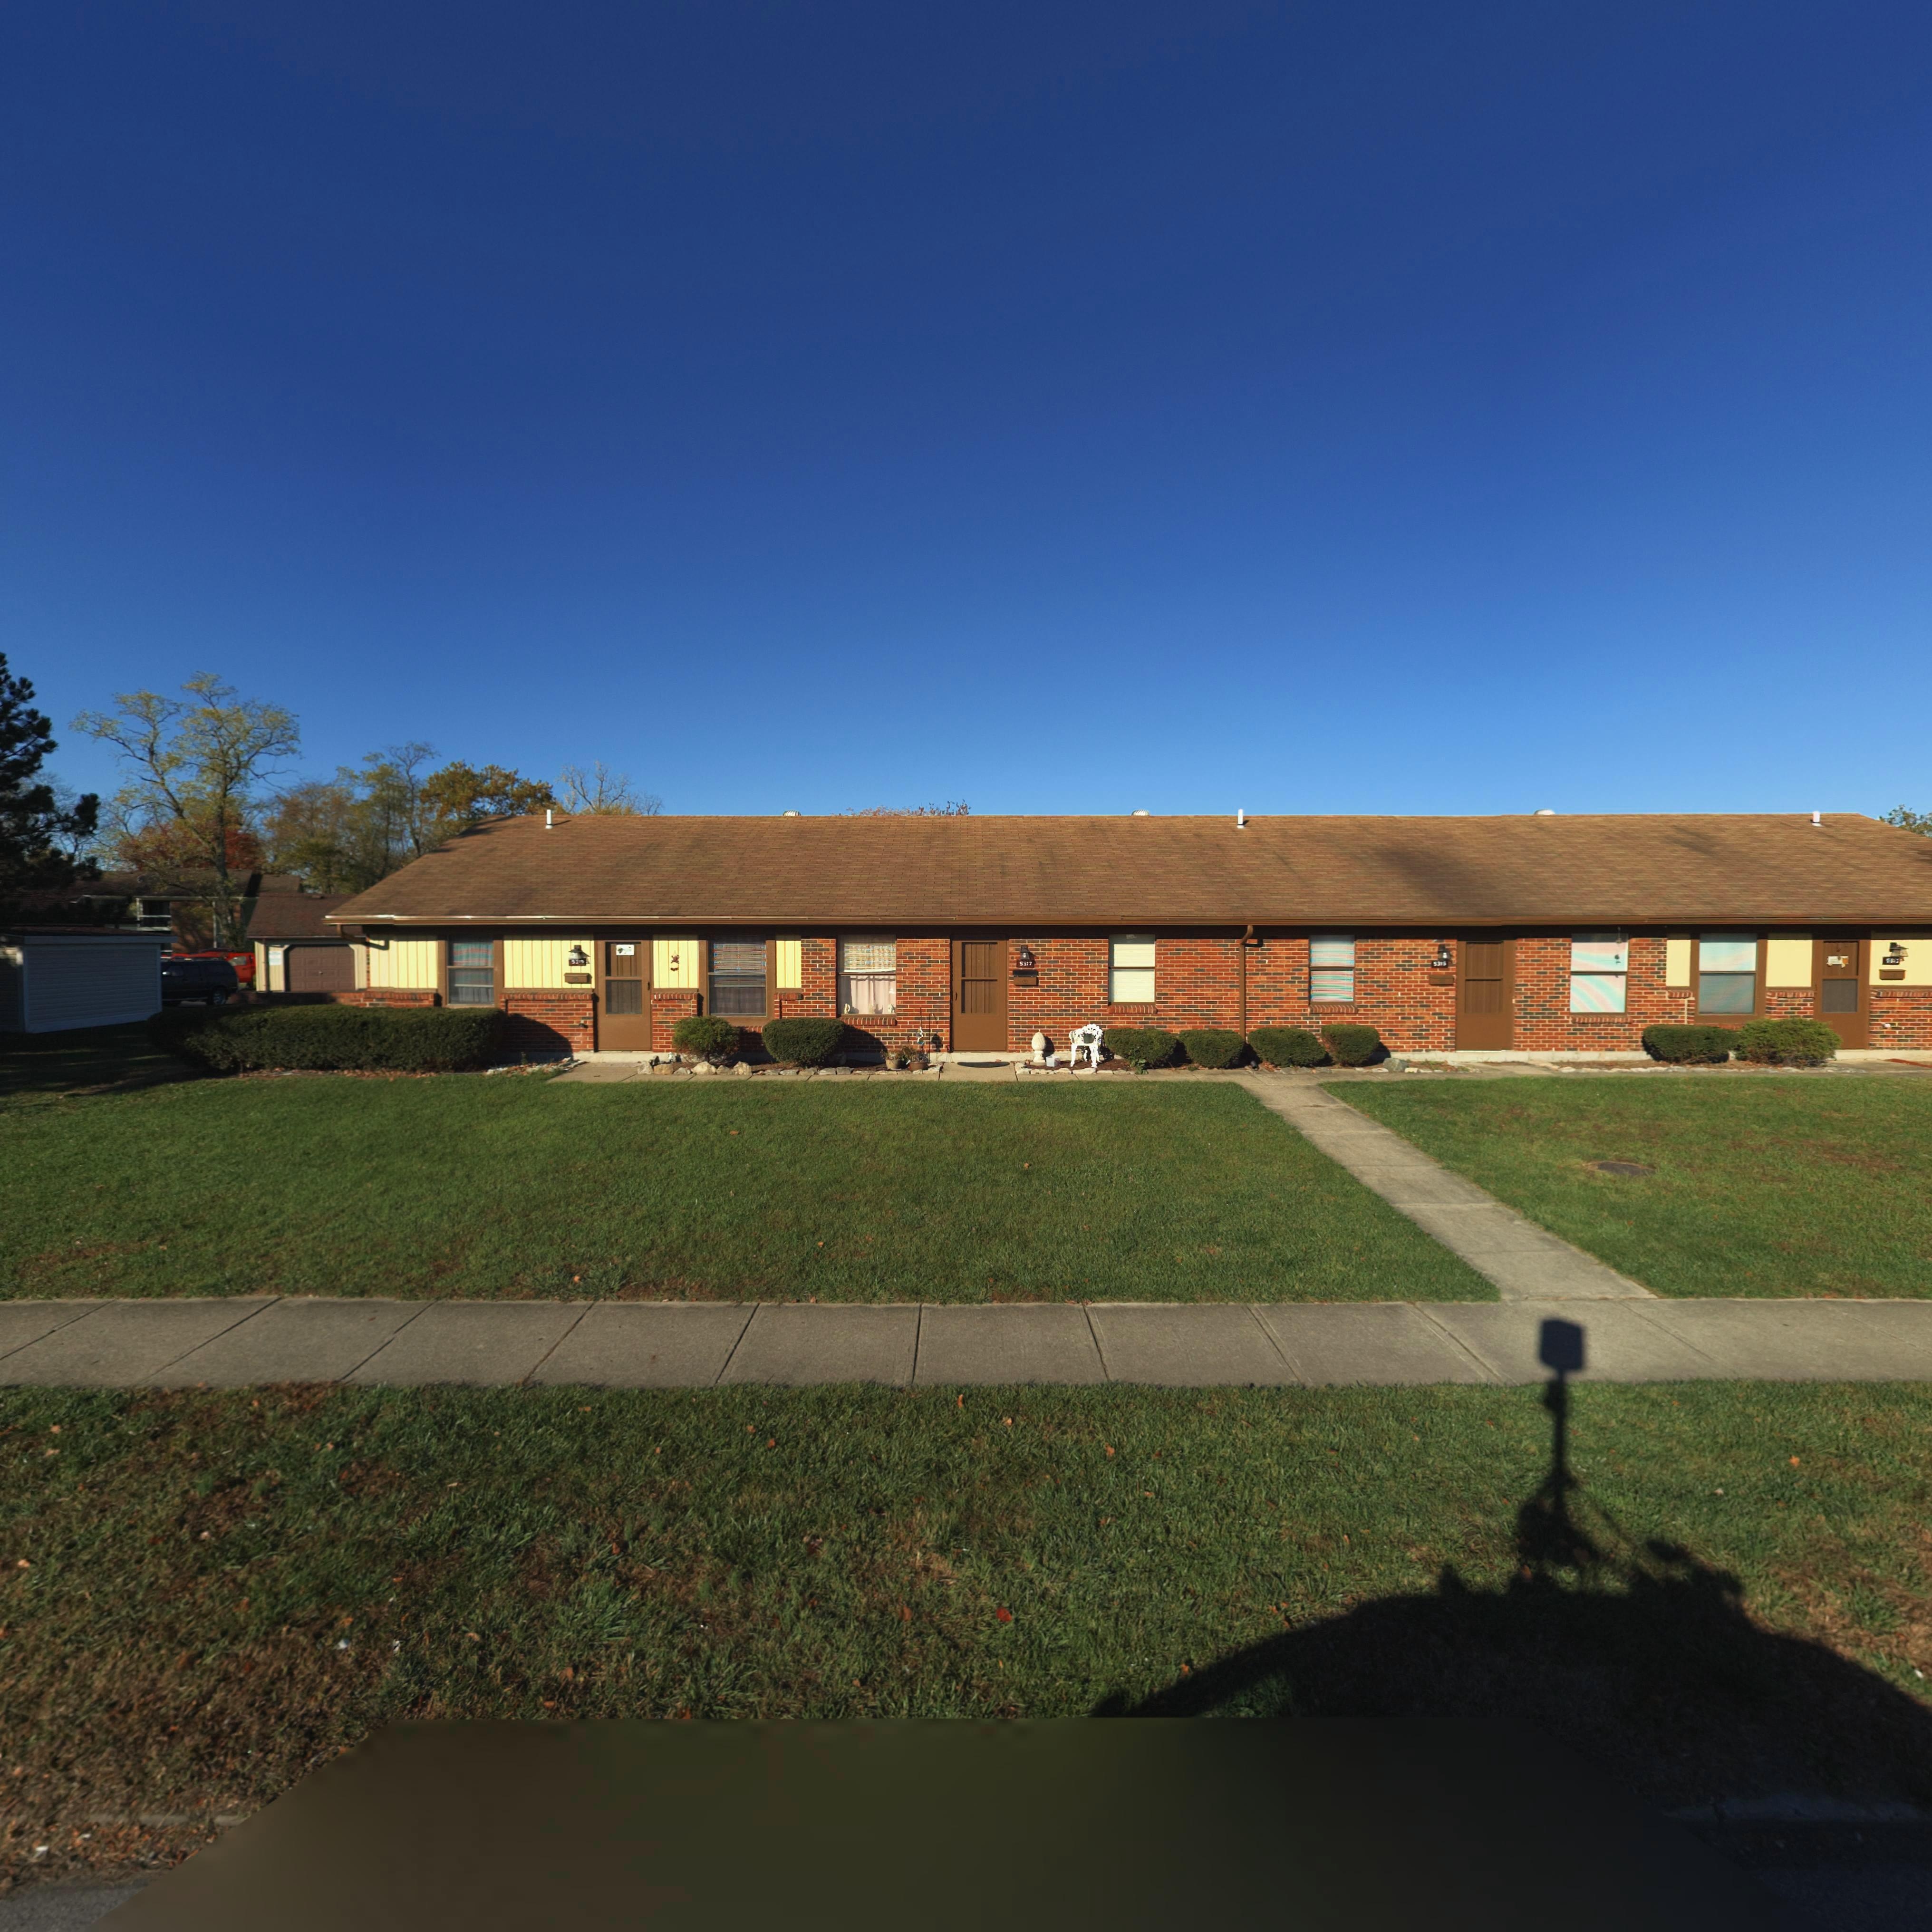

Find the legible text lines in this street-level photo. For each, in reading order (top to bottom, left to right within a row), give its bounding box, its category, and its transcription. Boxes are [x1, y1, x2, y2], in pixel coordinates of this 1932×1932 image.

[570, 958, 585, 965] StreetNumber: 5319
[1019, 960, 1033, 966] StreetNumber: 5317
[1433, 960, 1447, 966] StreetNumber: 5315
[1884, 957, 1900, 964] StreetNumber: 5313